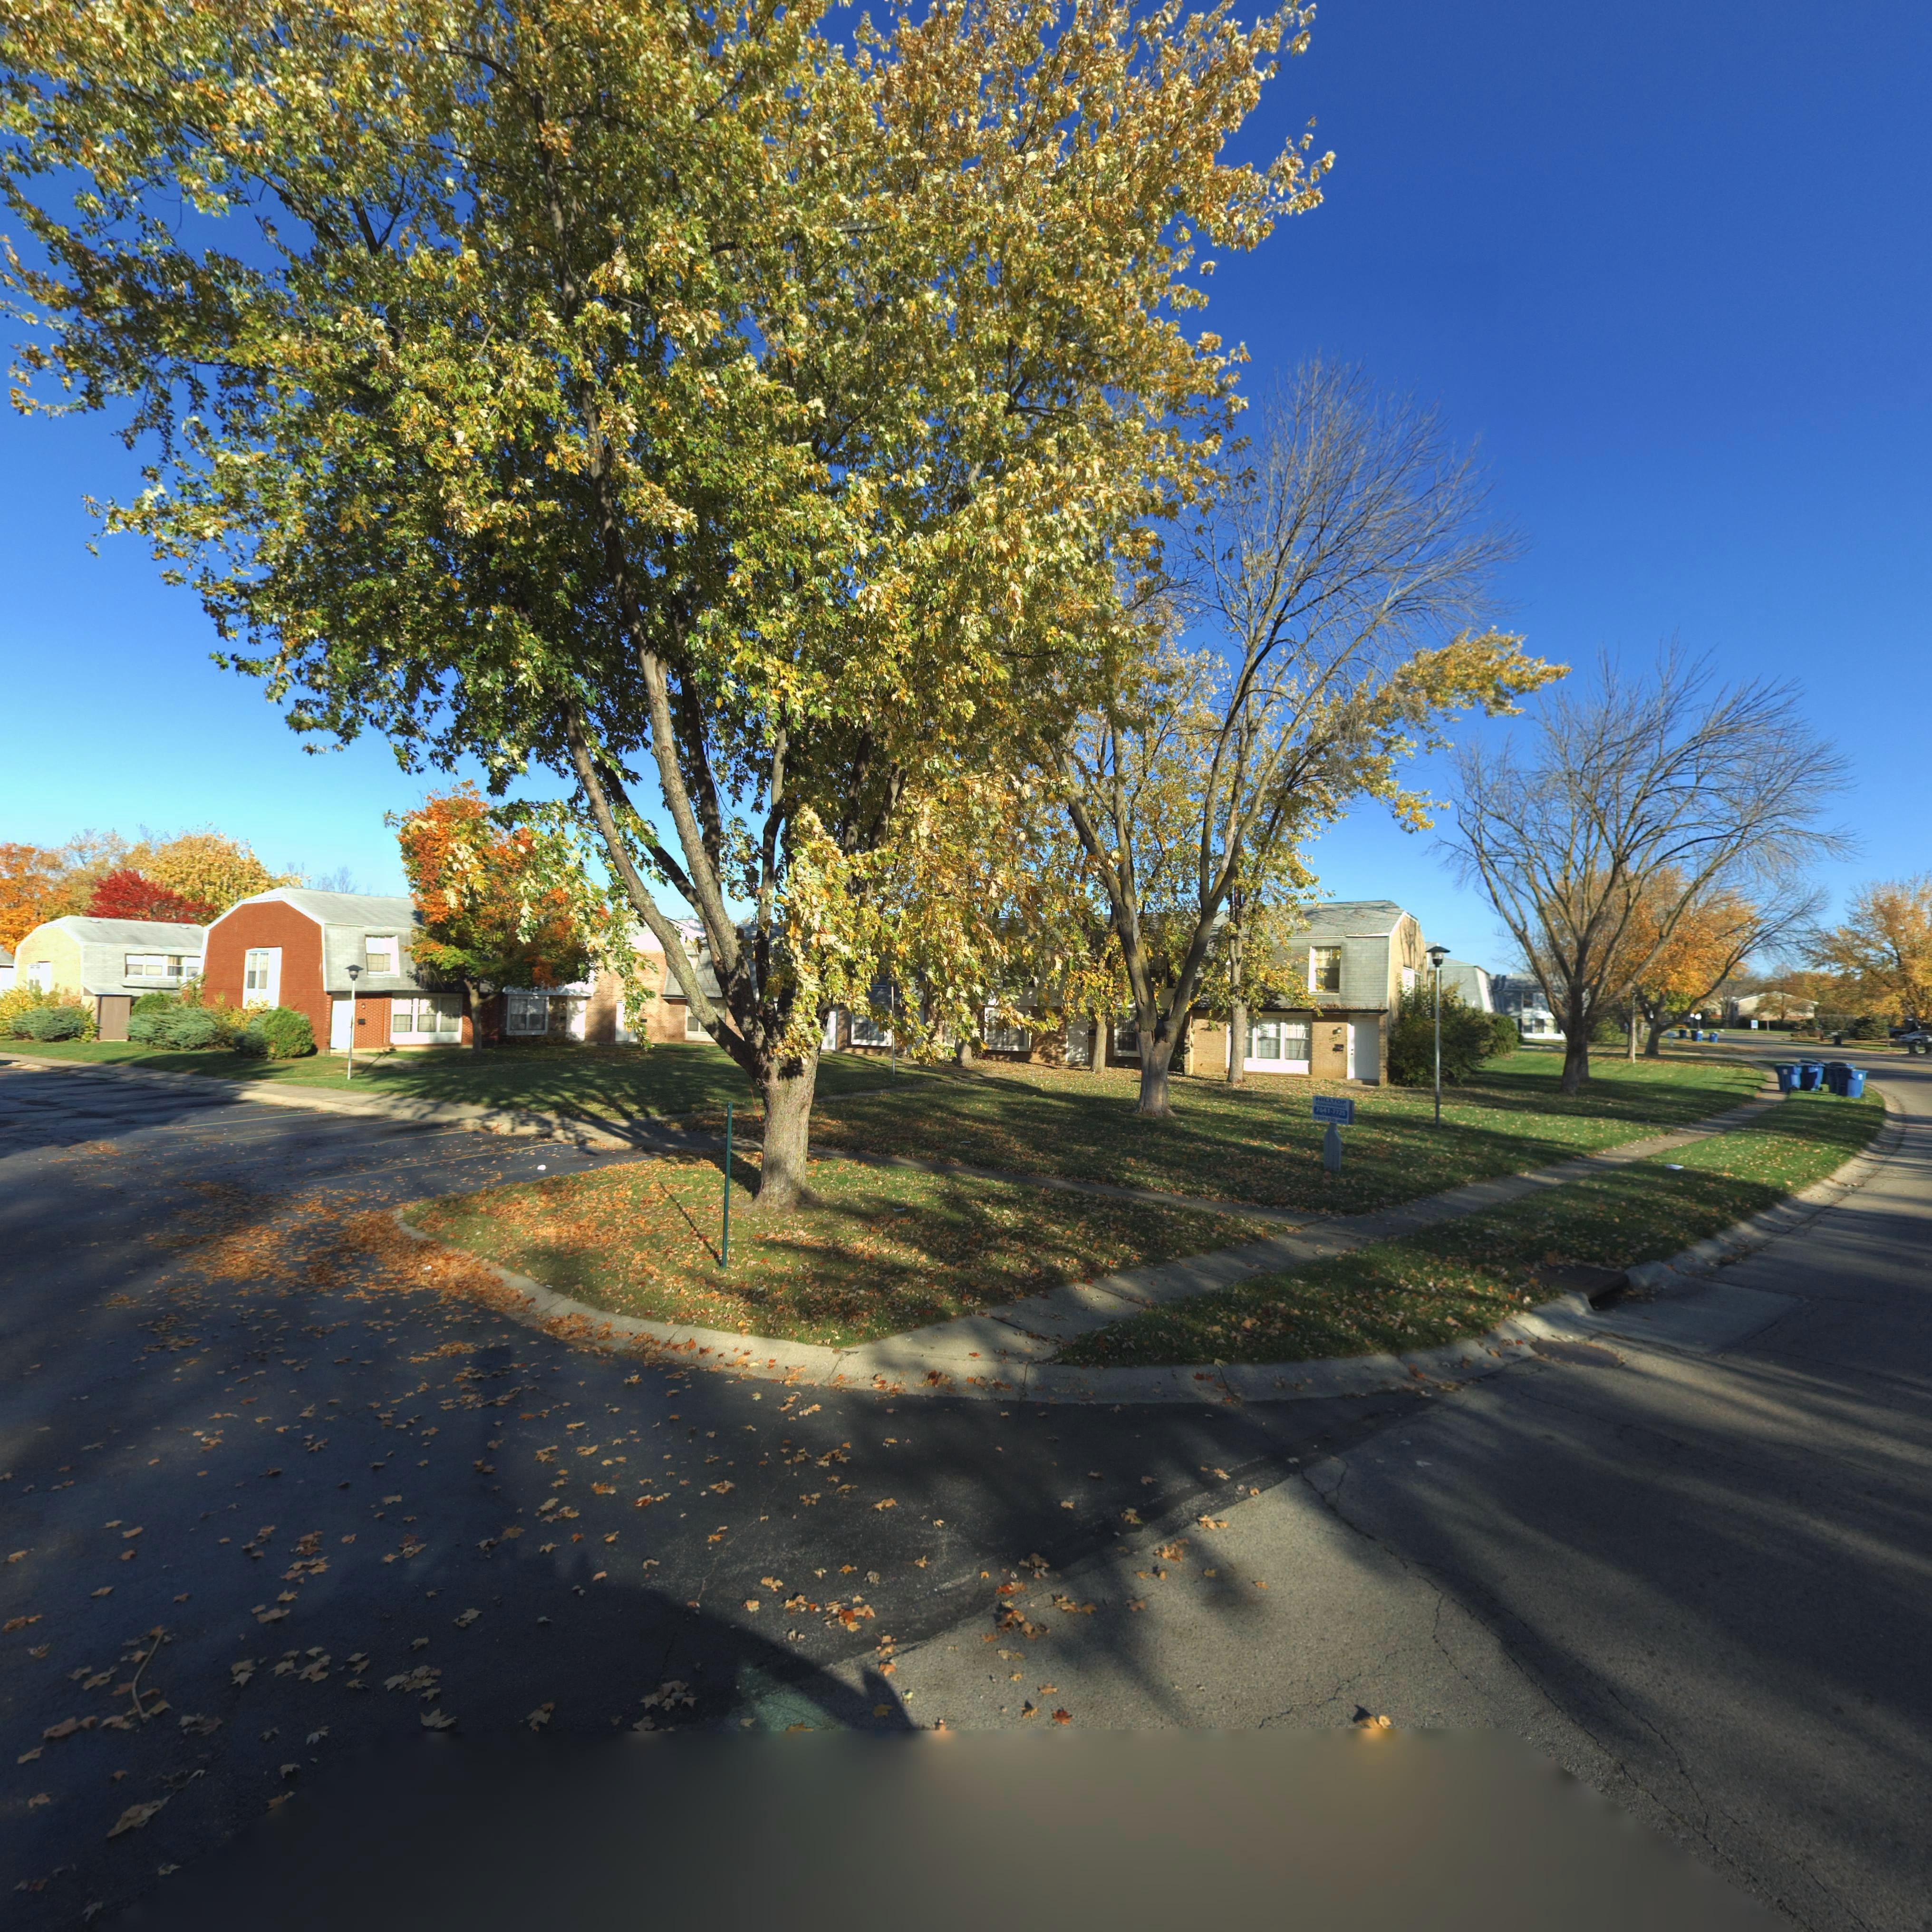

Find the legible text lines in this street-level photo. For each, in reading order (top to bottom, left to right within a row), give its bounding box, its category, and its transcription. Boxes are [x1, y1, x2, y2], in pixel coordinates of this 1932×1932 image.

[1359, 1014, 1368, 1018] StreetNumber: **25